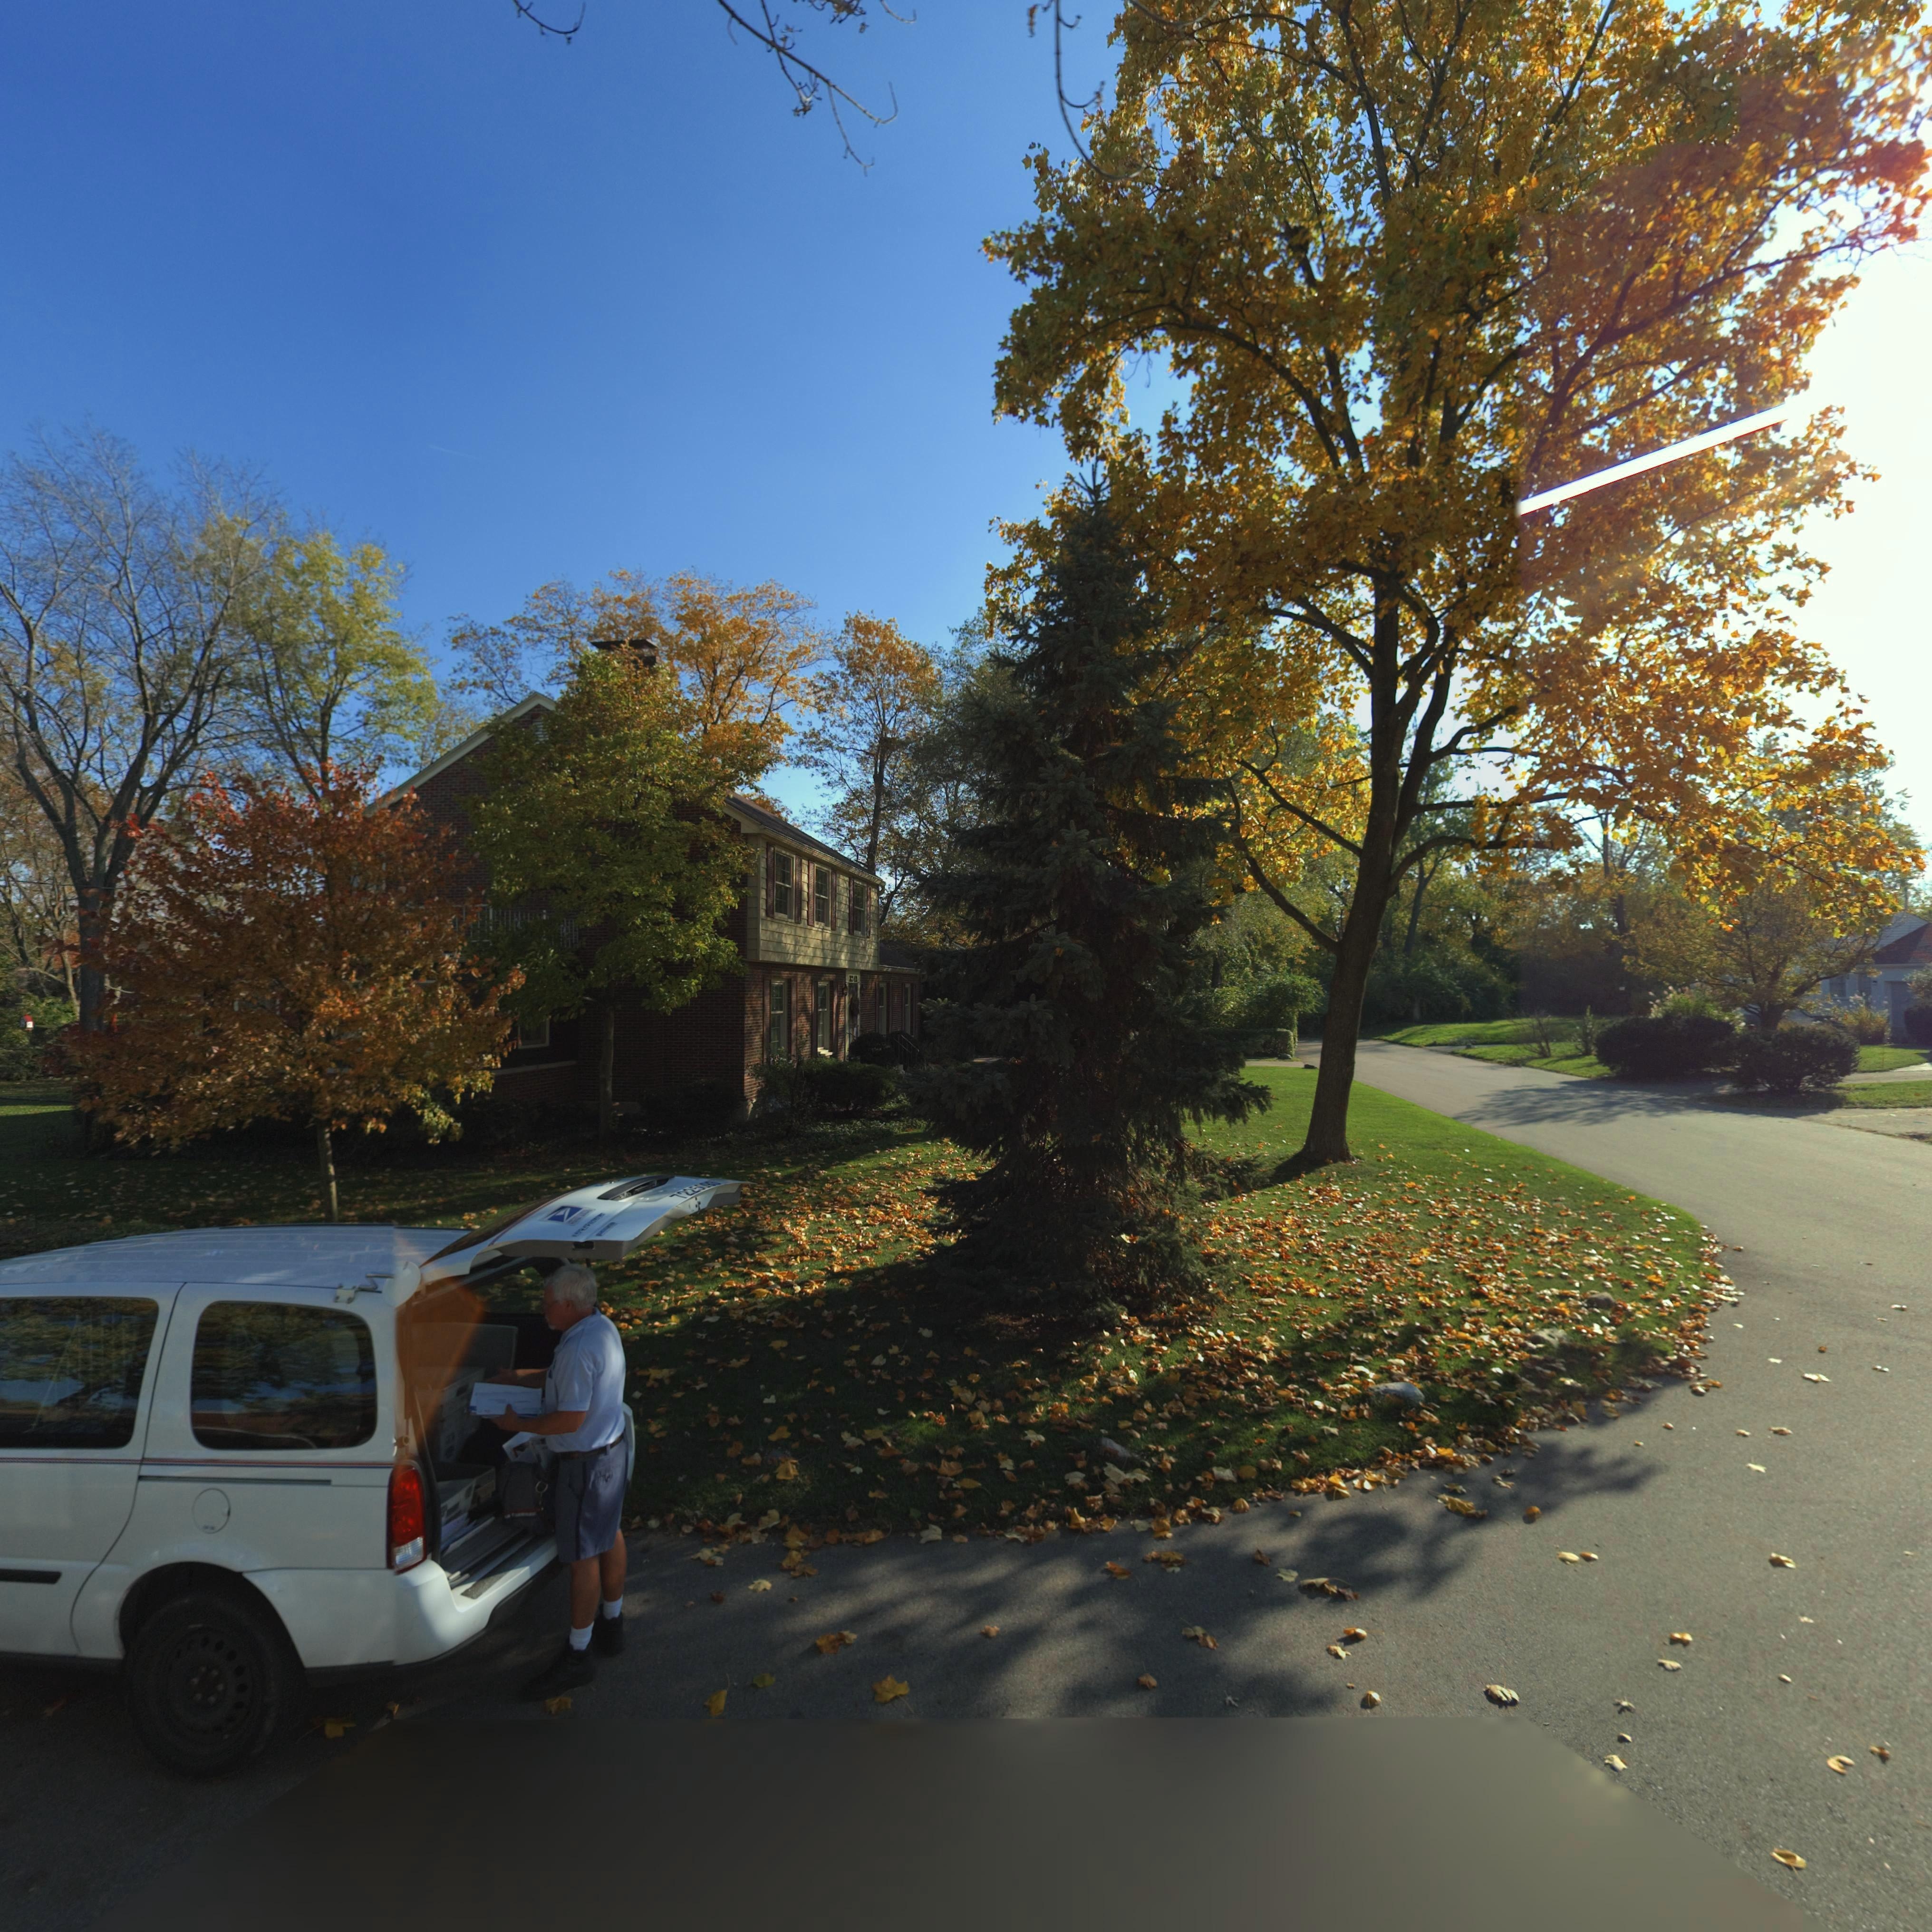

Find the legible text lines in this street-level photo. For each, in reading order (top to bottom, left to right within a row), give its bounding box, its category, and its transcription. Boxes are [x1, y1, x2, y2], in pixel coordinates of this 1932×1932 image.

[849, 975, 858, 982] StreetNumber: 3242